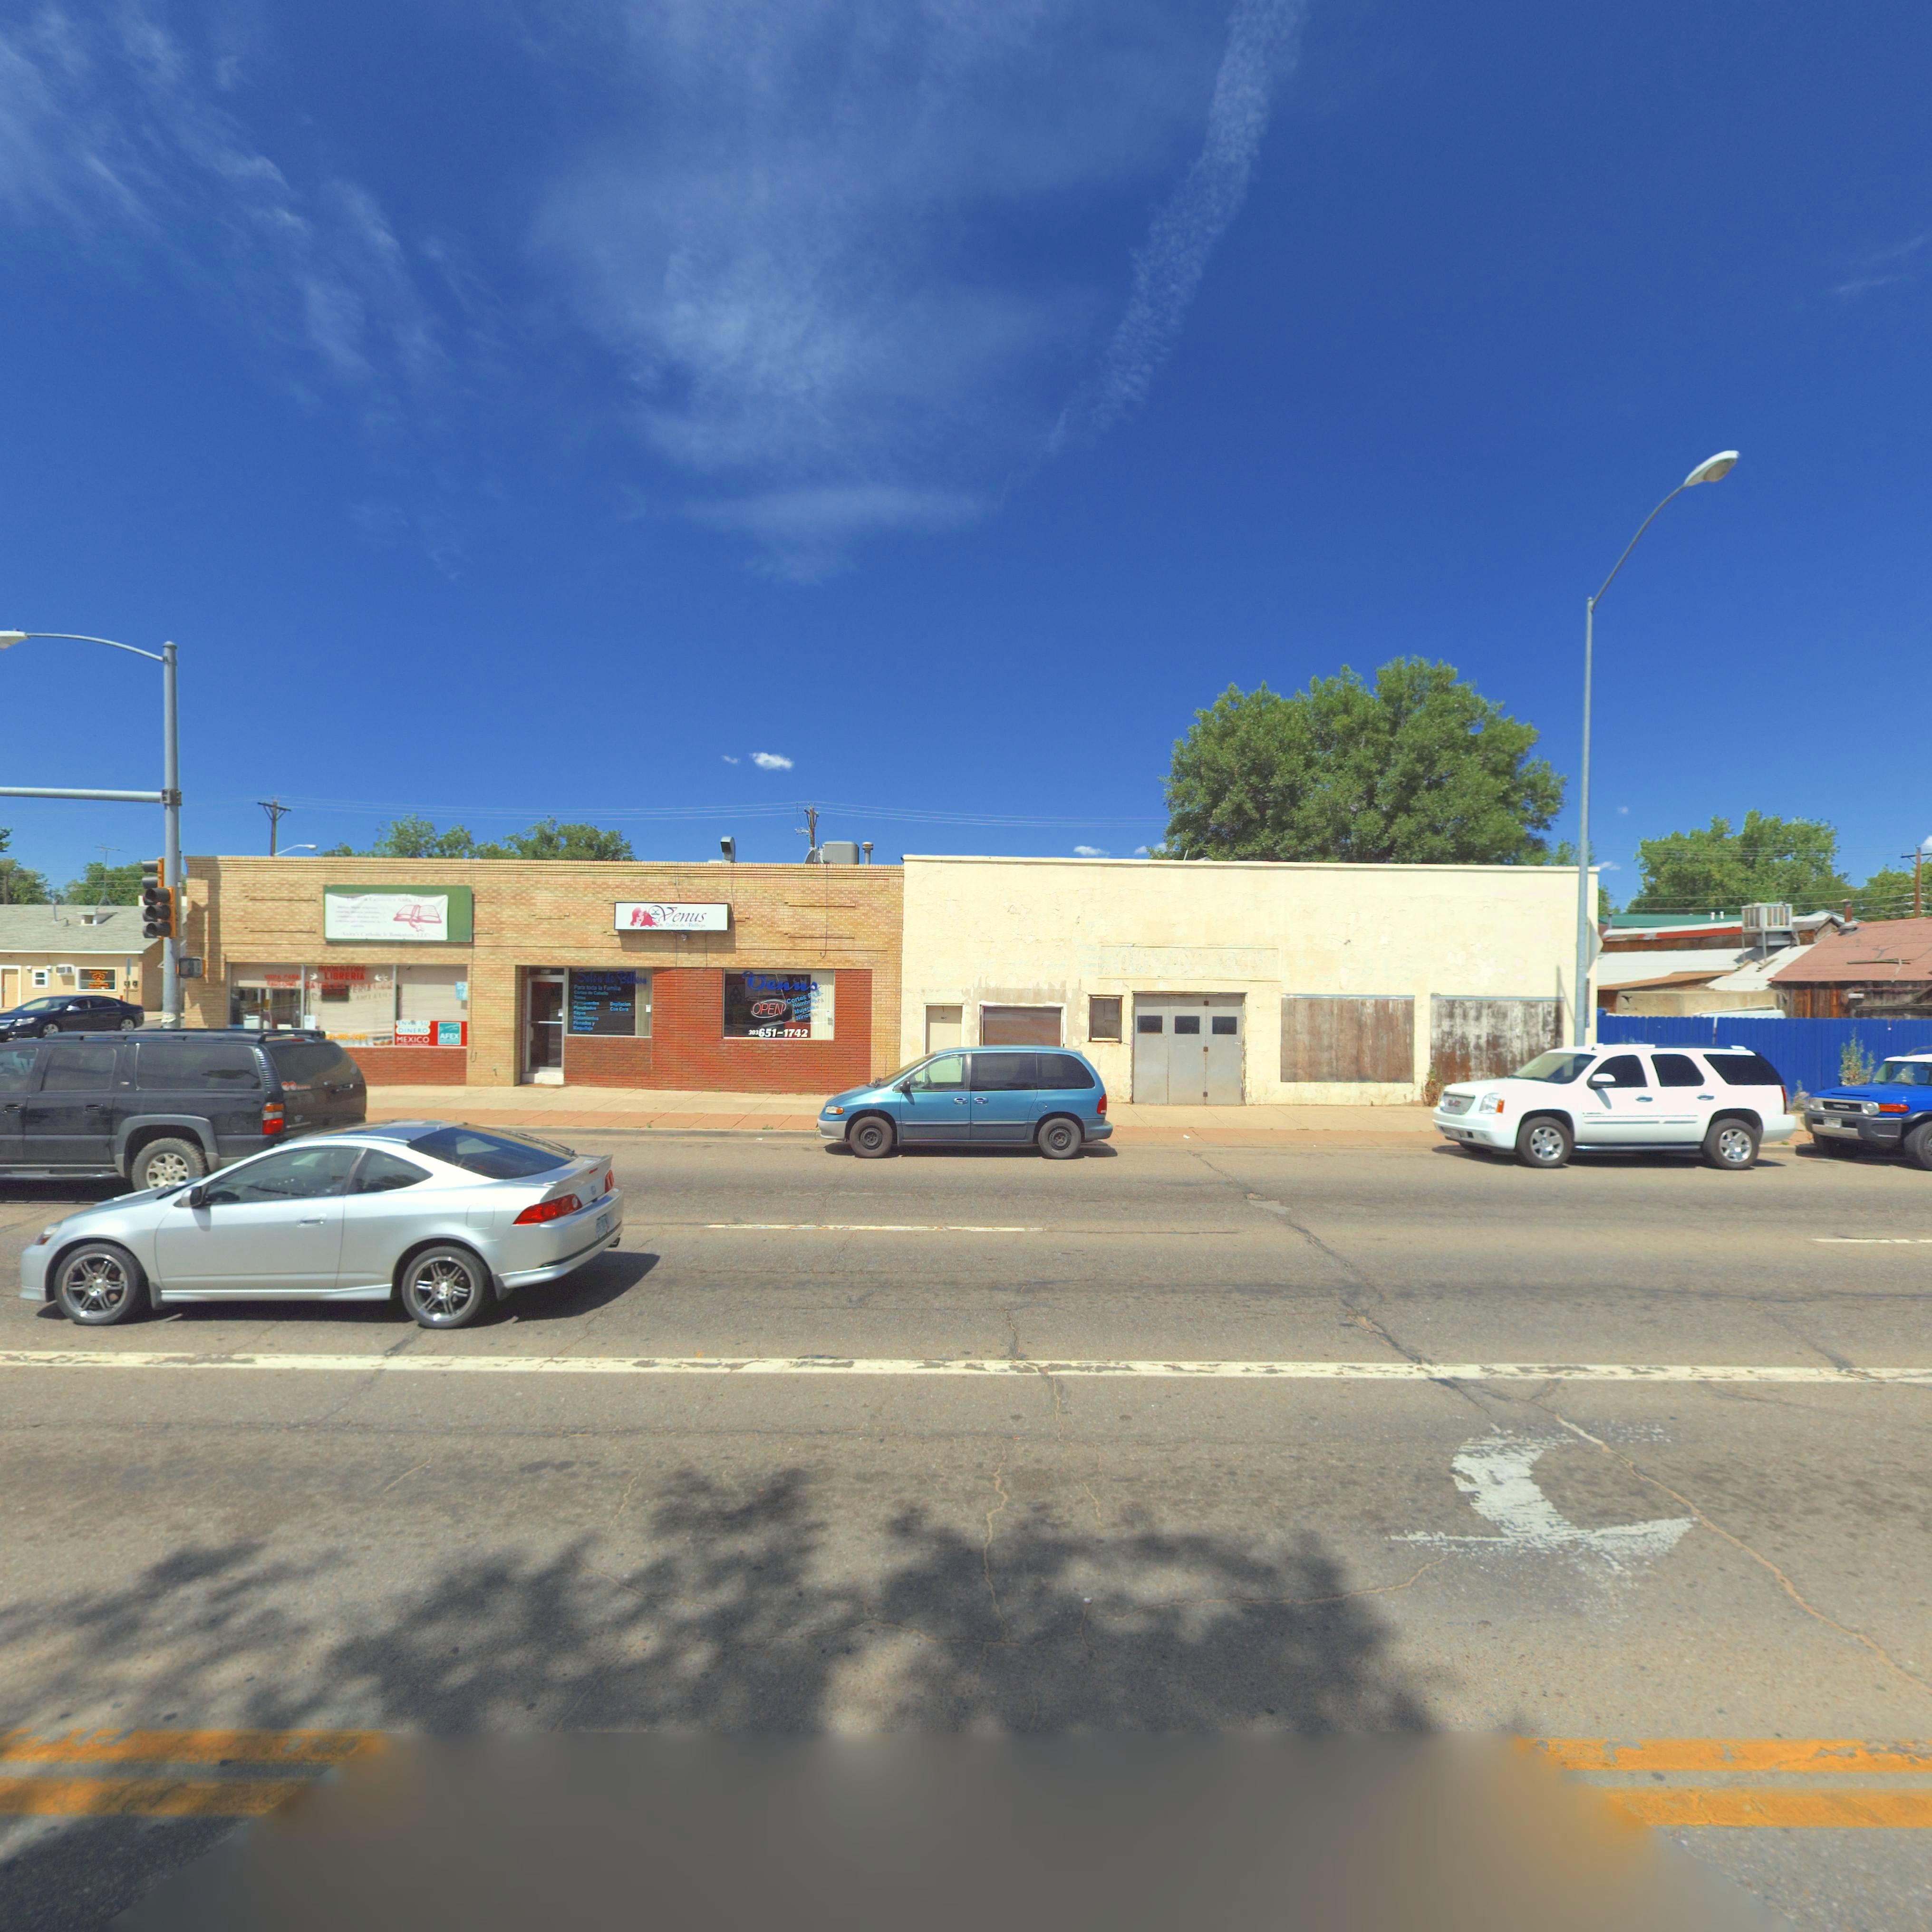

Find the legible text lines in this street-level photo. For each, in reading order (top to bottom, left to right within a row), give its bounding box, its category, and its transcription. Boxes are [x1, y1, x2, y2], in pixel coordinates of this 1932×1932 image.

[656, 905, 708, 923] BusinessName: Venus
[317, 964, 367, 973] BusinessName: BOO***O**
[304, 980, 346, 989] BusinessName: CAT***C*
[324, 973, 366, 980] BusinessName: LI*RERI*
[741, 970, 822, 991] BusinessName: Venus